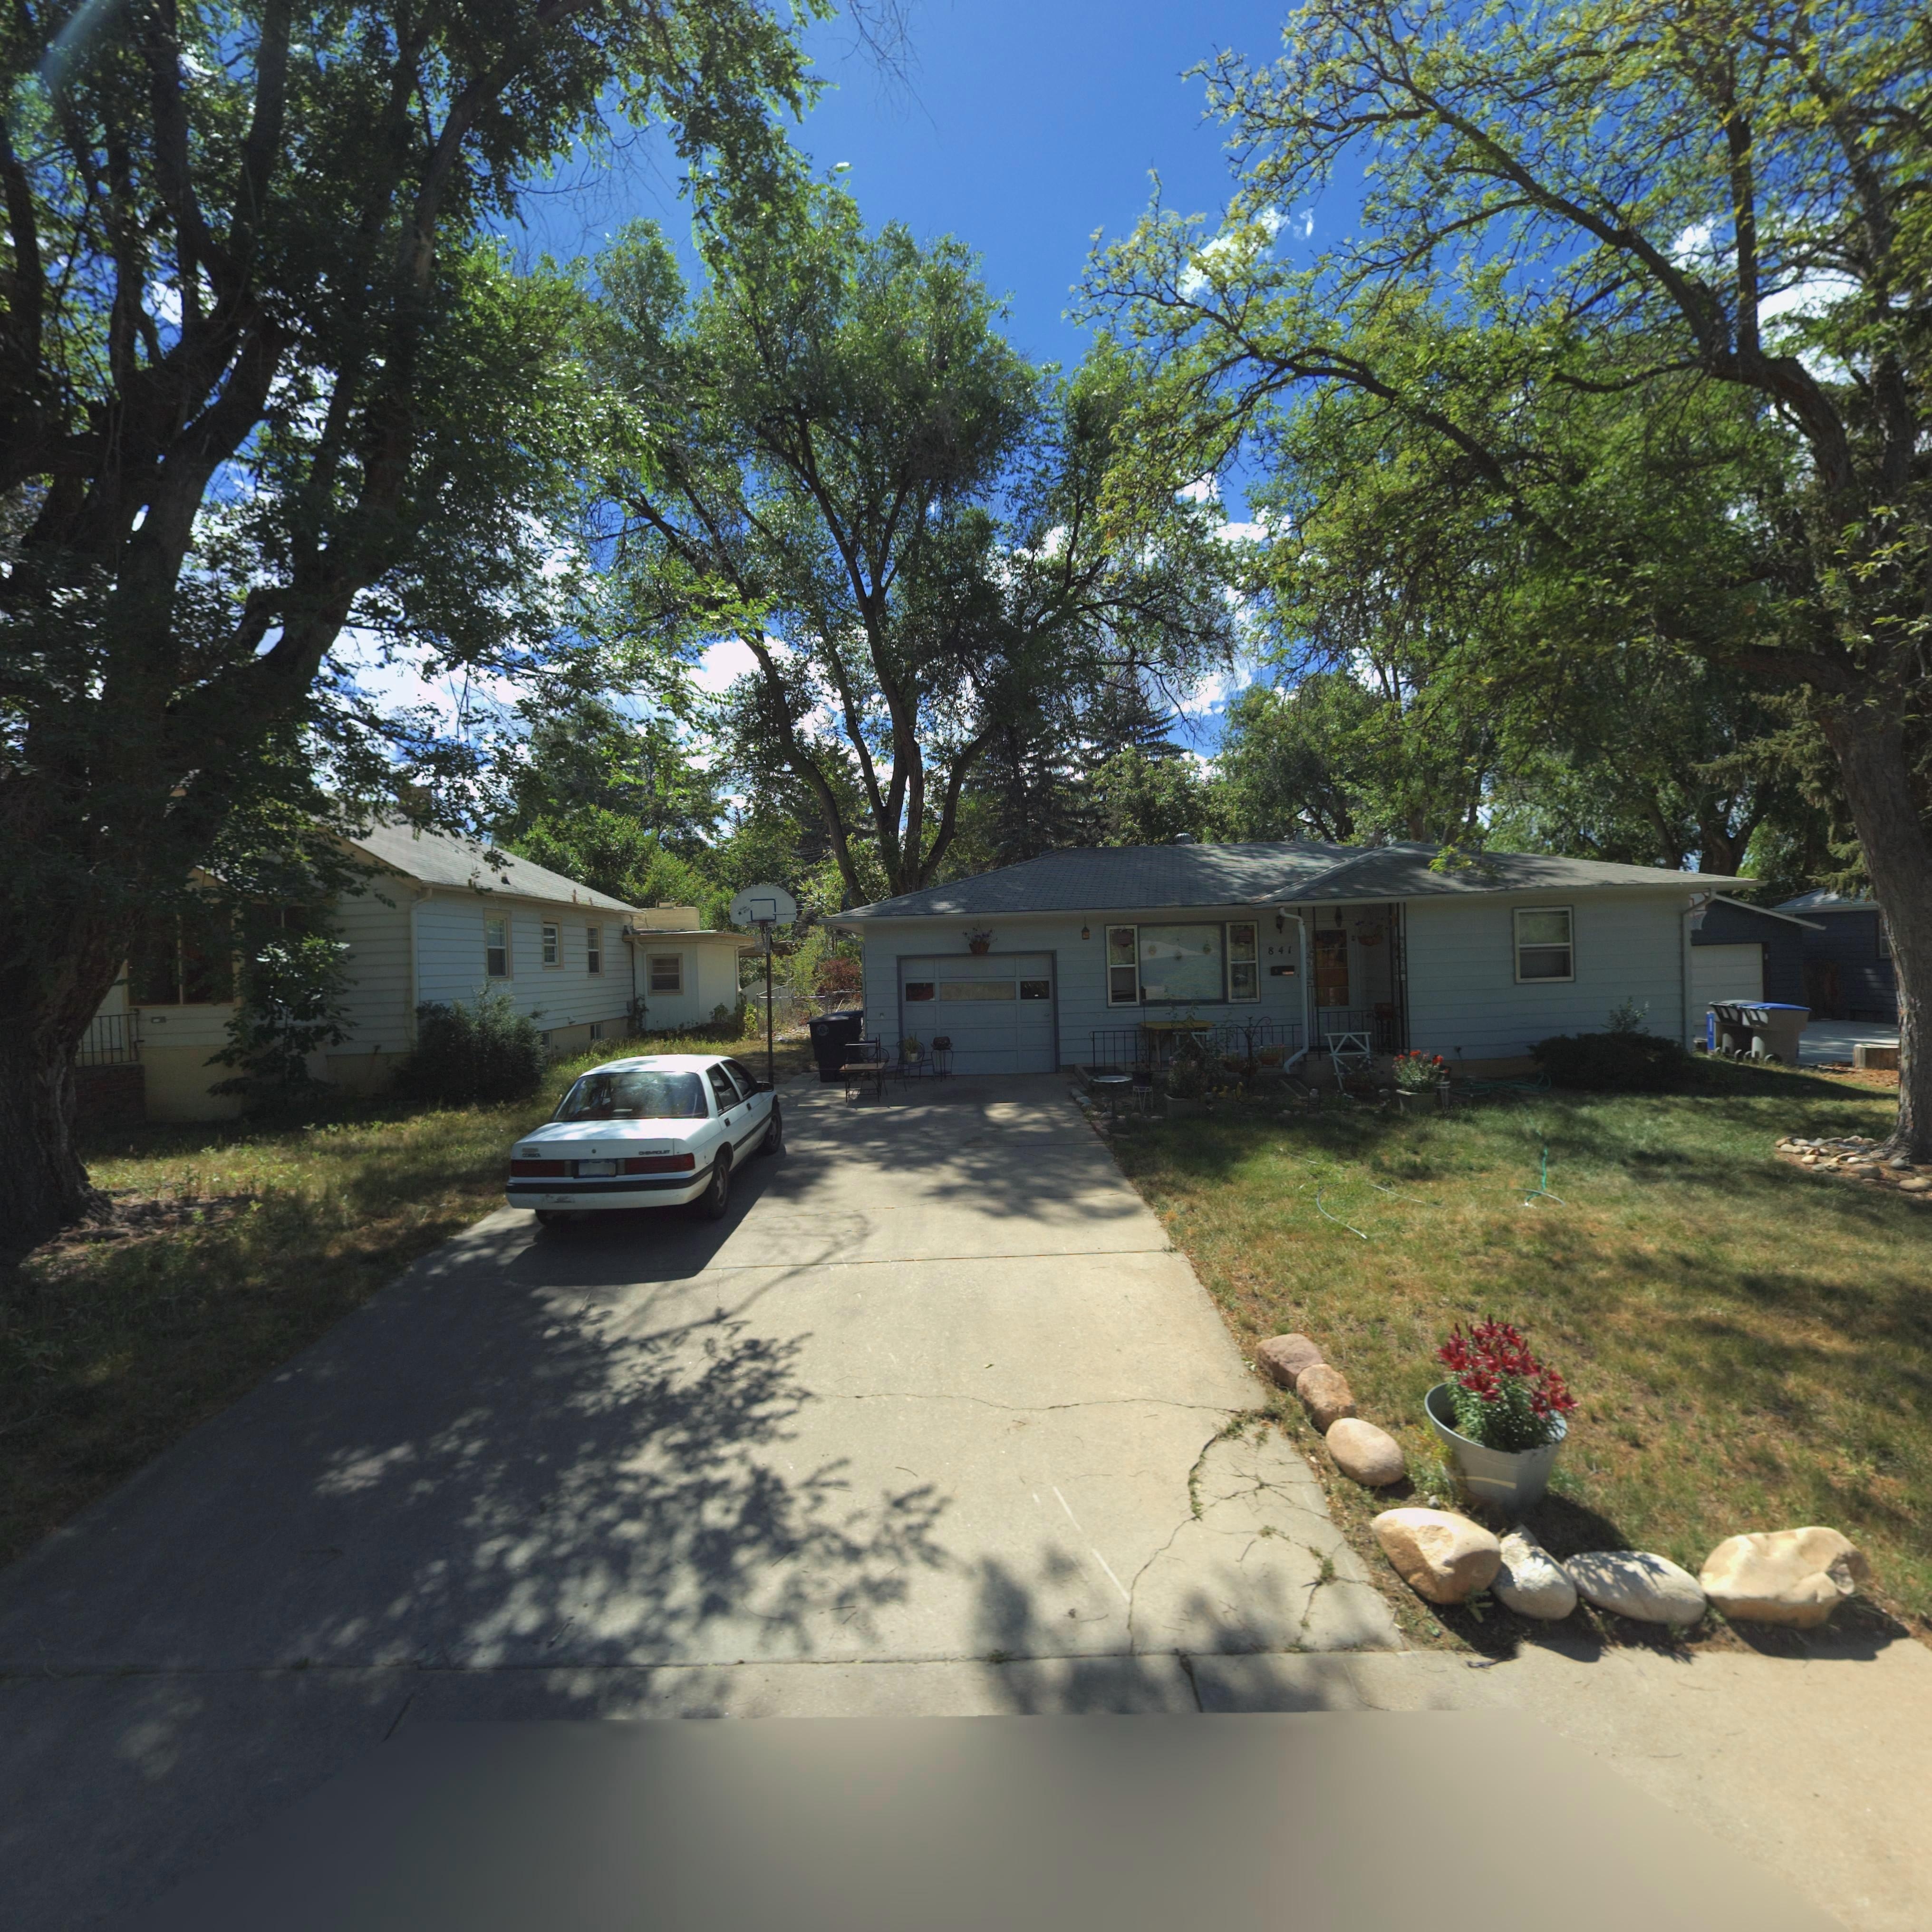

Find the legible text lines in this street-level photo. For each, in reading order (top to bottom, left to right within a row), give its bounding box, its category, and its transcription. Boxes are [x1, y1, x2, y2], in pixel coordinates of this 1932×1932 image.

[1267, 945, 1292, 955] StreetNumber: 841